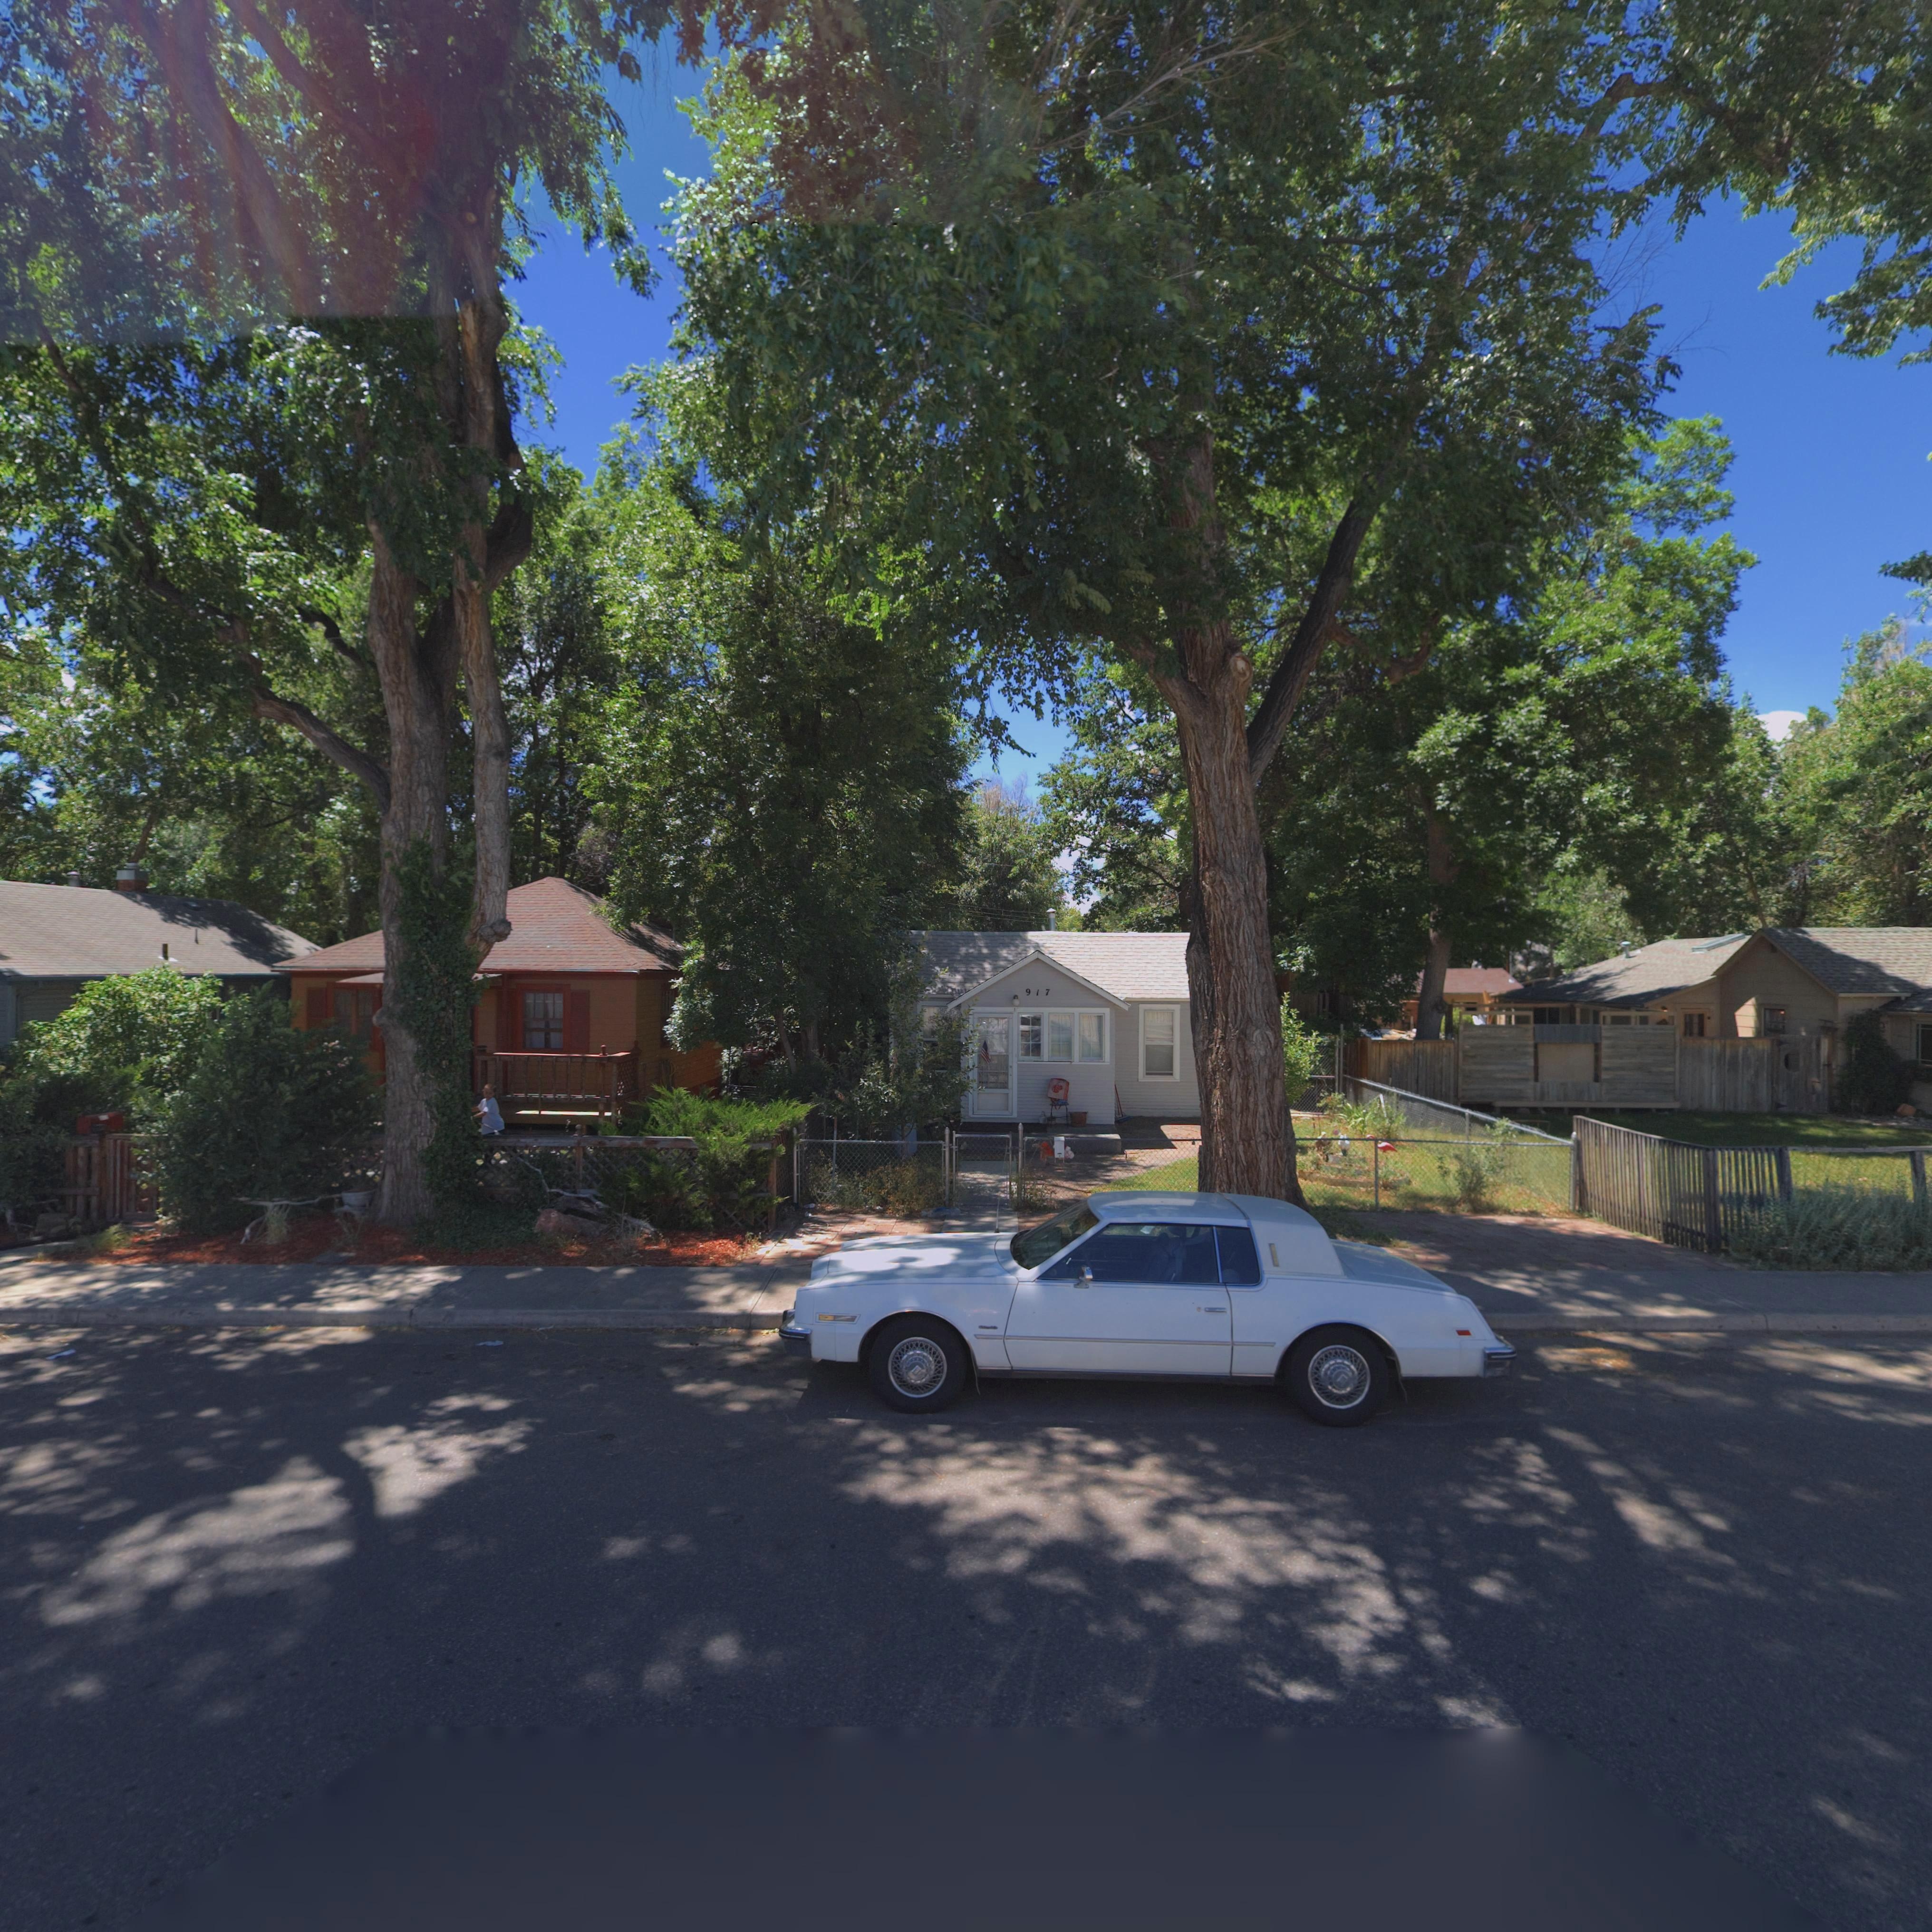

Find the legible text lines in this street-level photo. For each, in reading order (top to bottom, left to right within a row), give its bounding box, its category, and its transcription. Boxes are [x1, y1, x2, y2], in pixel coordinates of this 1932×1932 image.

[1025, 987, 1050, 996] StreetNumber: 917